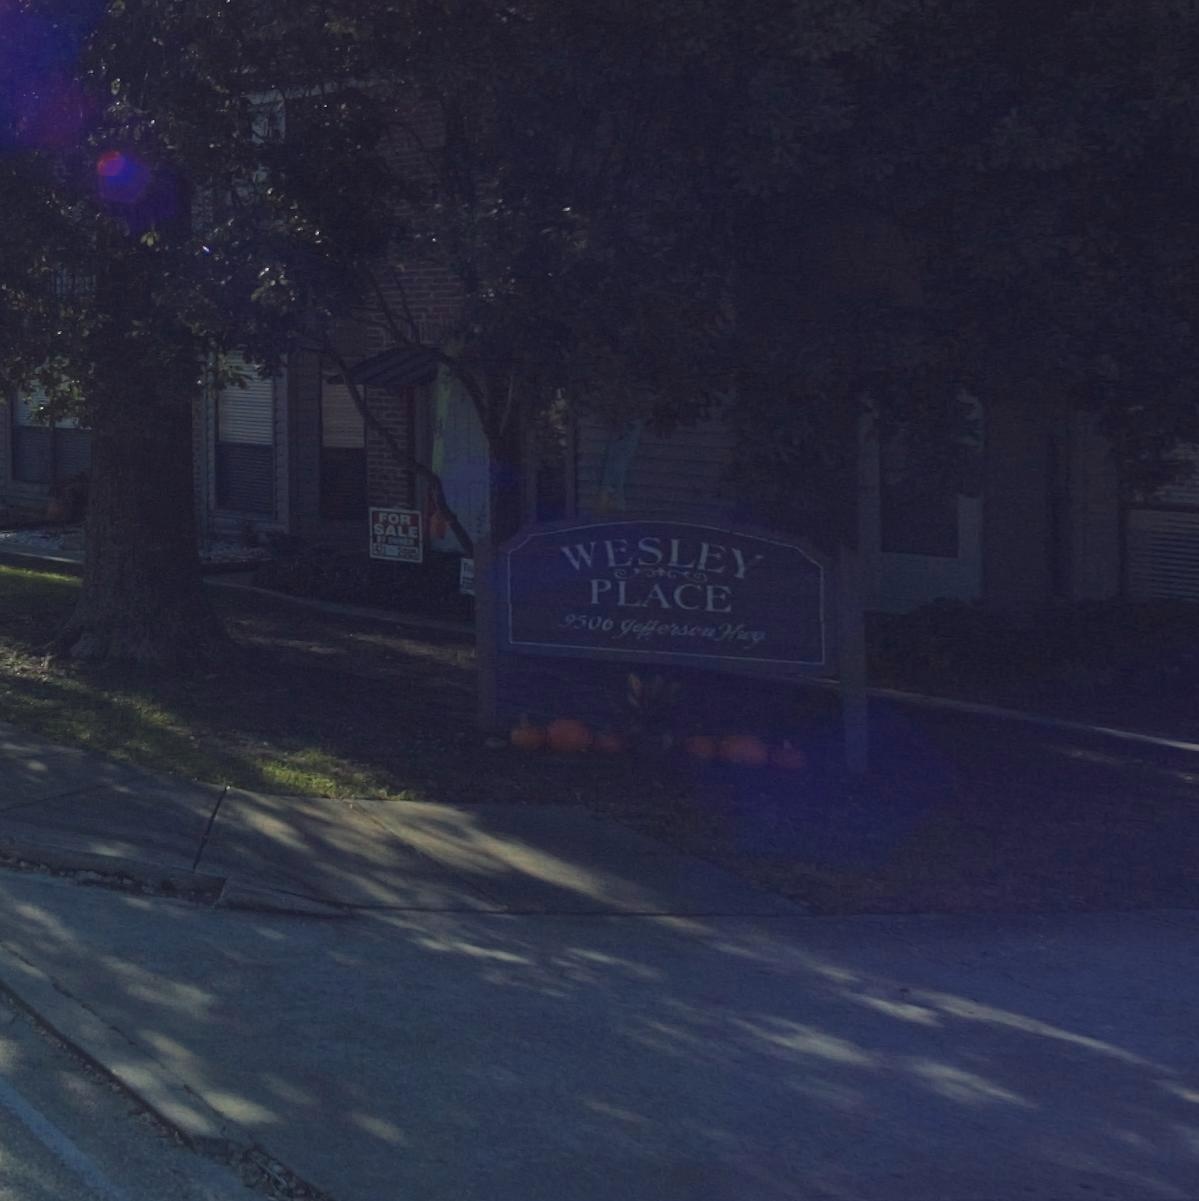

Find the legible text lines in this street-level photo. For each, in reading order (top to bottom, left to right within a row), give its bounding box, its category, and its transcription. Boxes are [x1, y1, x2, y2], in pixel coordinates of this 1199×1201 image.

[377, 509, 413, 528] None: FOR
[371, 520, 421, 541] None: SALE
[552, 534, 770, 582] BusinessName: WESLEY
[586, 575, 735, 615] BusinessName: PLACE
[552, 608, 620, 634] StreetNumber: 950*
[607, 613, 771, 653] StreetName: Jefferson Hwy